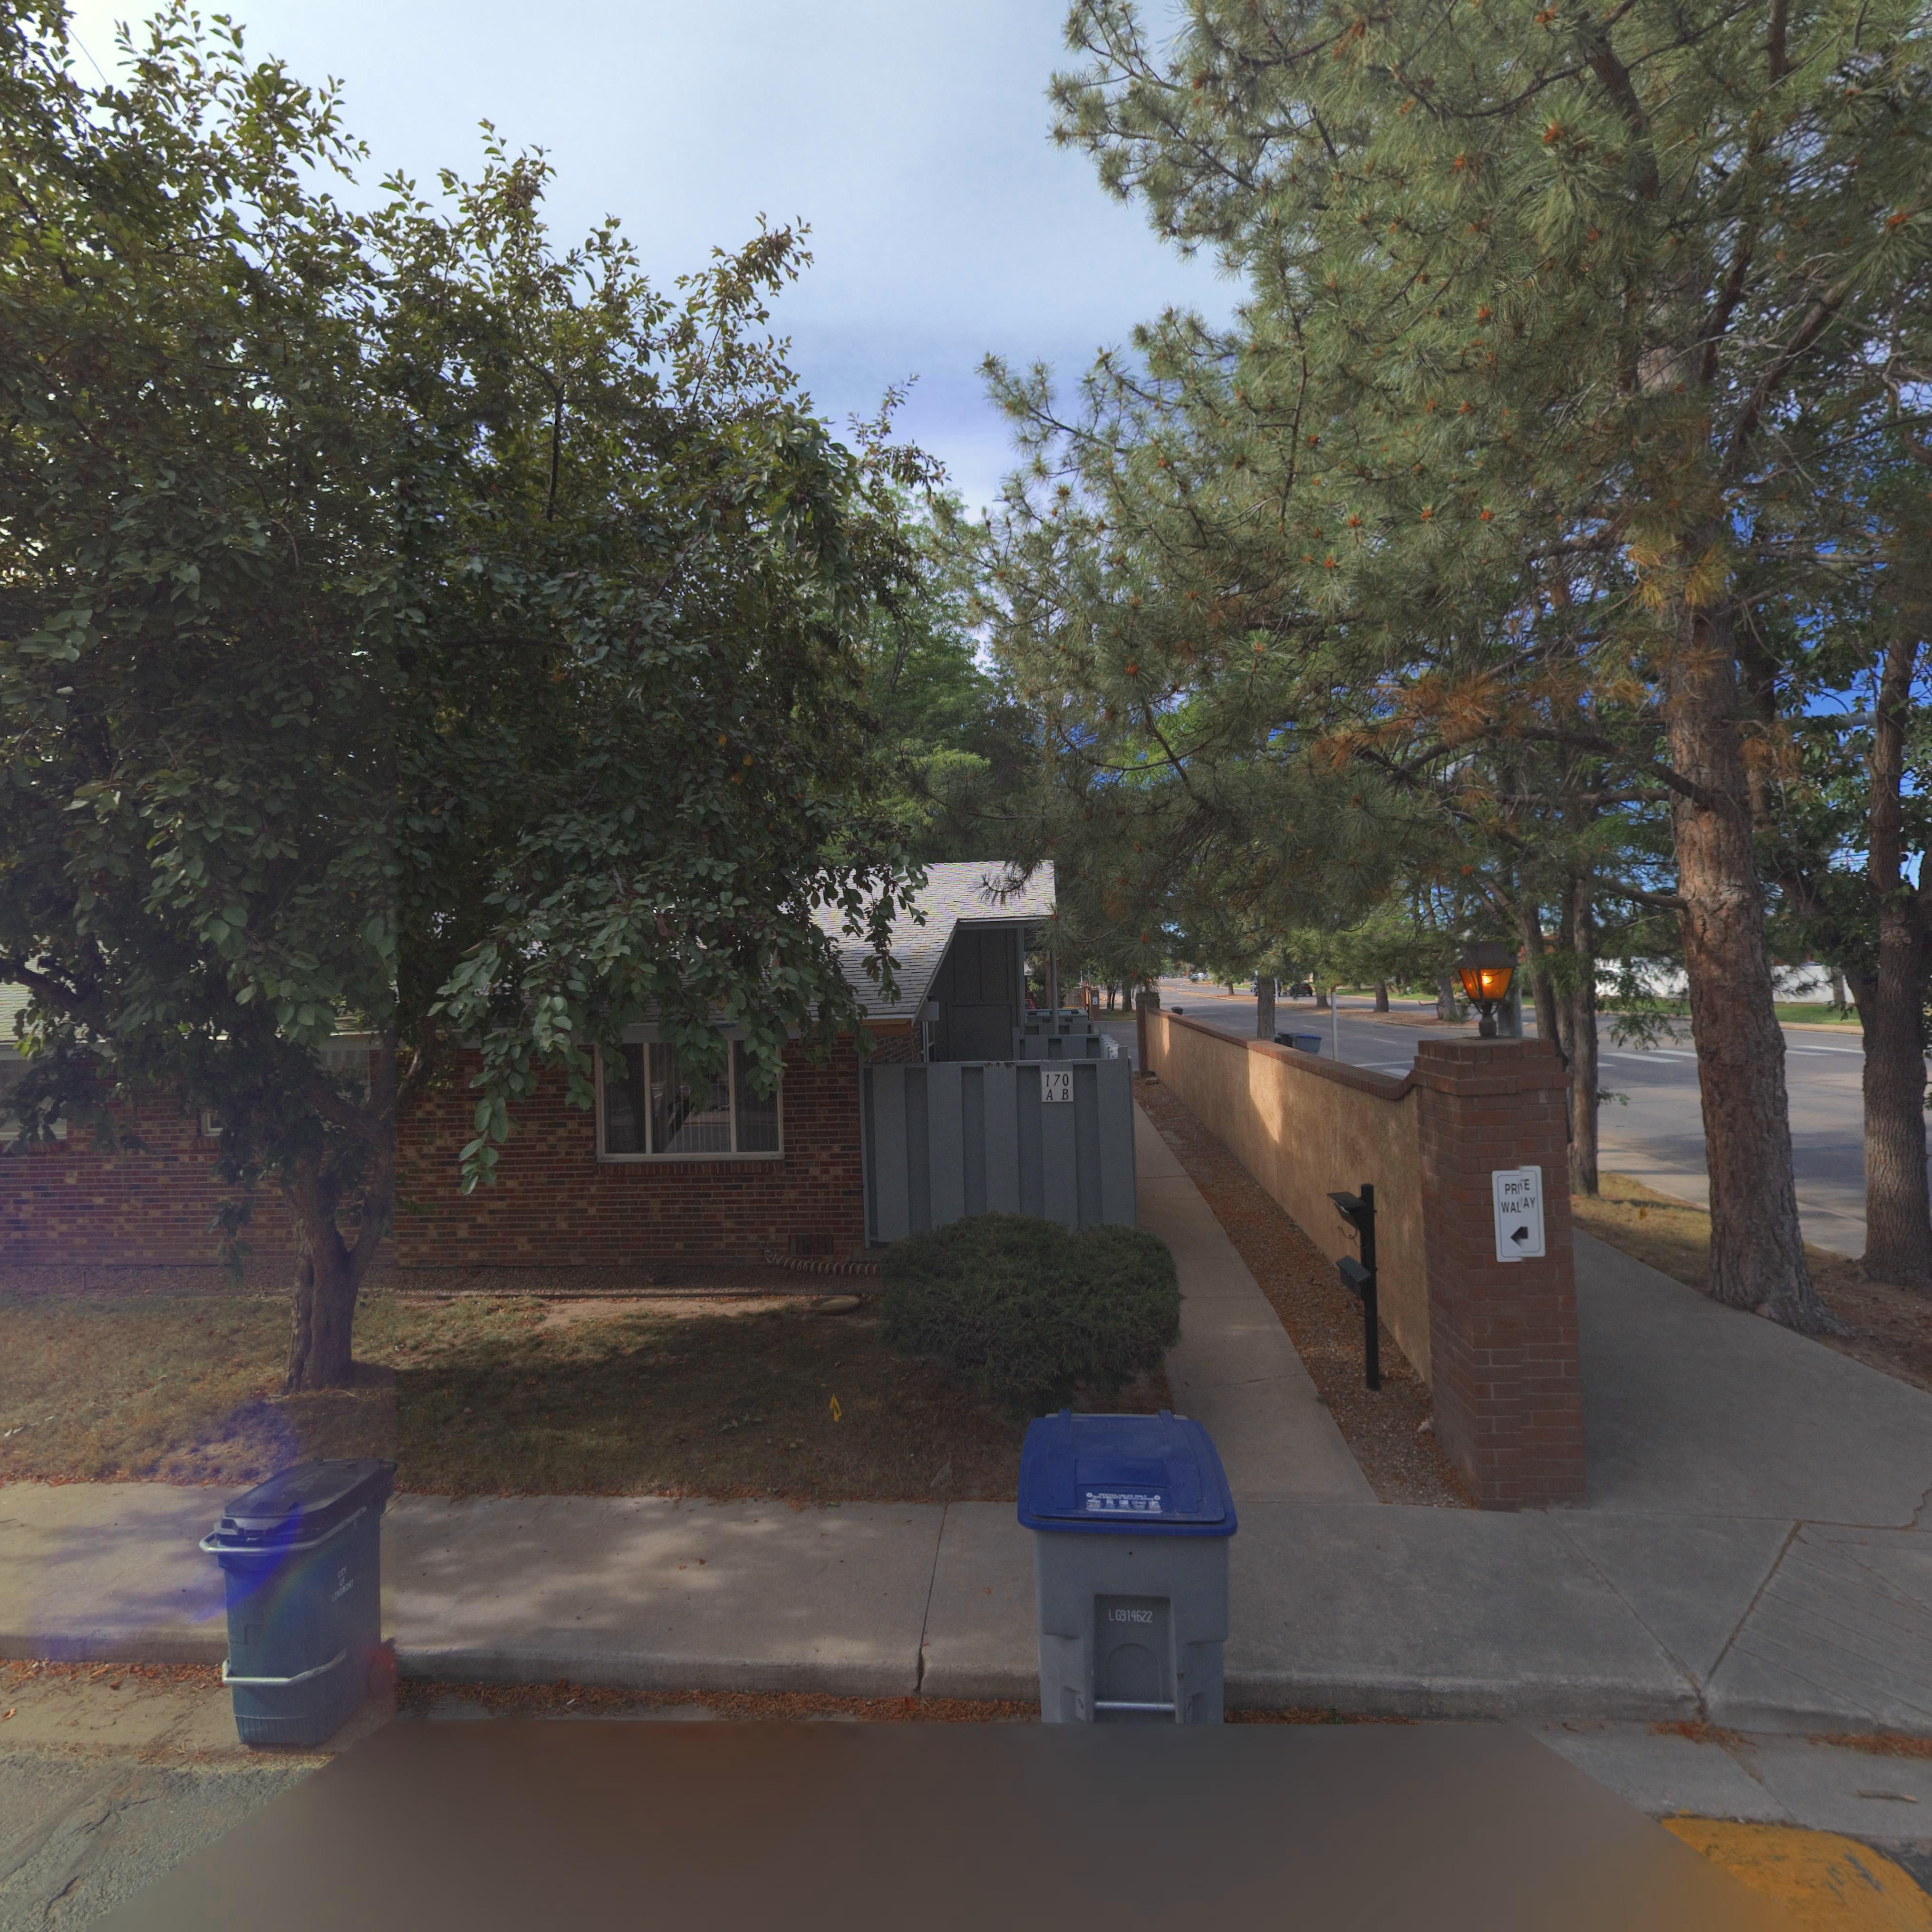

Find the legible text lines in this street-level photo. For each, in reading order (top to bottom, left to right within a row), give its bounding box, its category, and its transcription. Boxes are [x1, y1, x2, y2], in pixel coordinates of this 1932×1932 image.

[1042, 1072, 1069, 1088] StreetNumber: 170
[1043, 1087, 1071, 1101] StreetNumber: A B